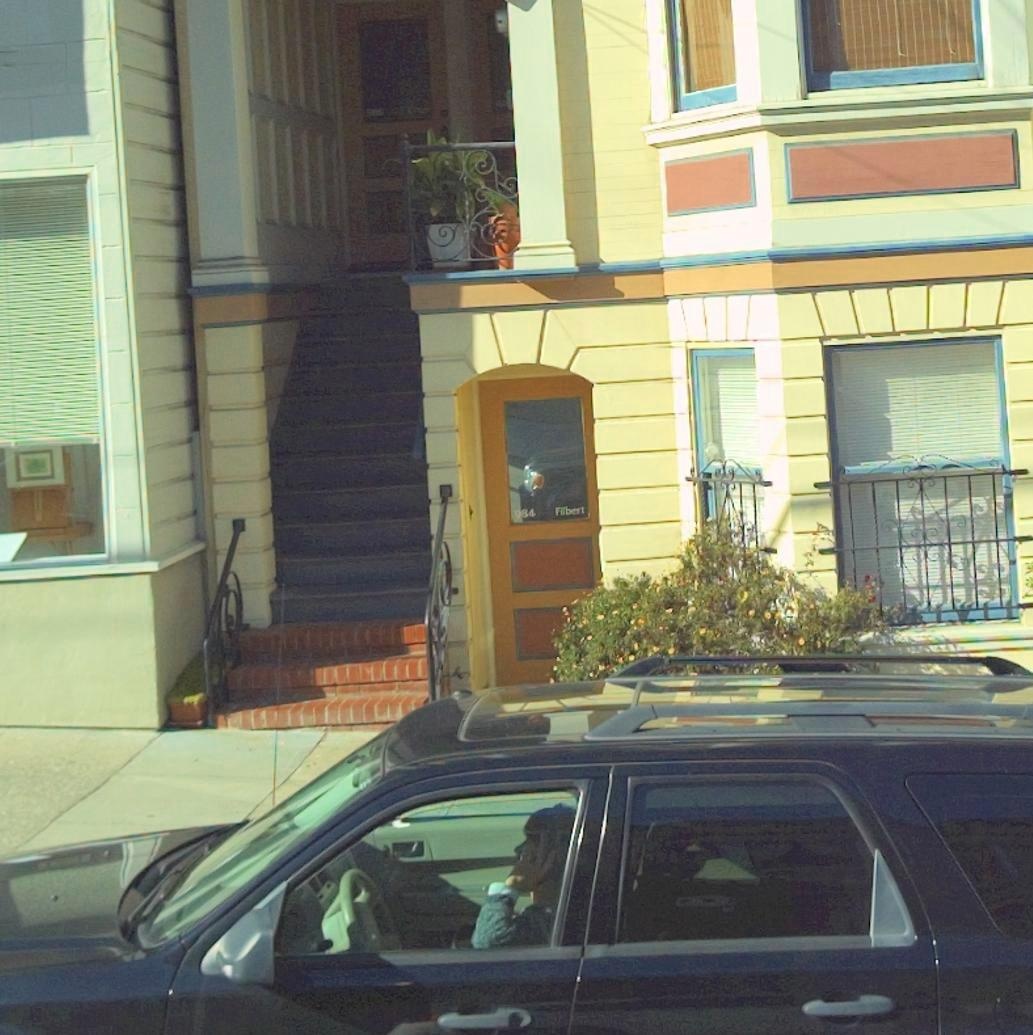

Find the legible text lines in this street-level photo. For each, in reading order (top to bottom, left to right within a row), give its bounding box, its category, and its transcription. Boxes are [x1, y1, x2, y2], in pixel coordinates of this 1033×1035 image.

[513, 507, 537, 520] StreetNumber: 984
[554, 504, 585, 517] StreetName: Filbert